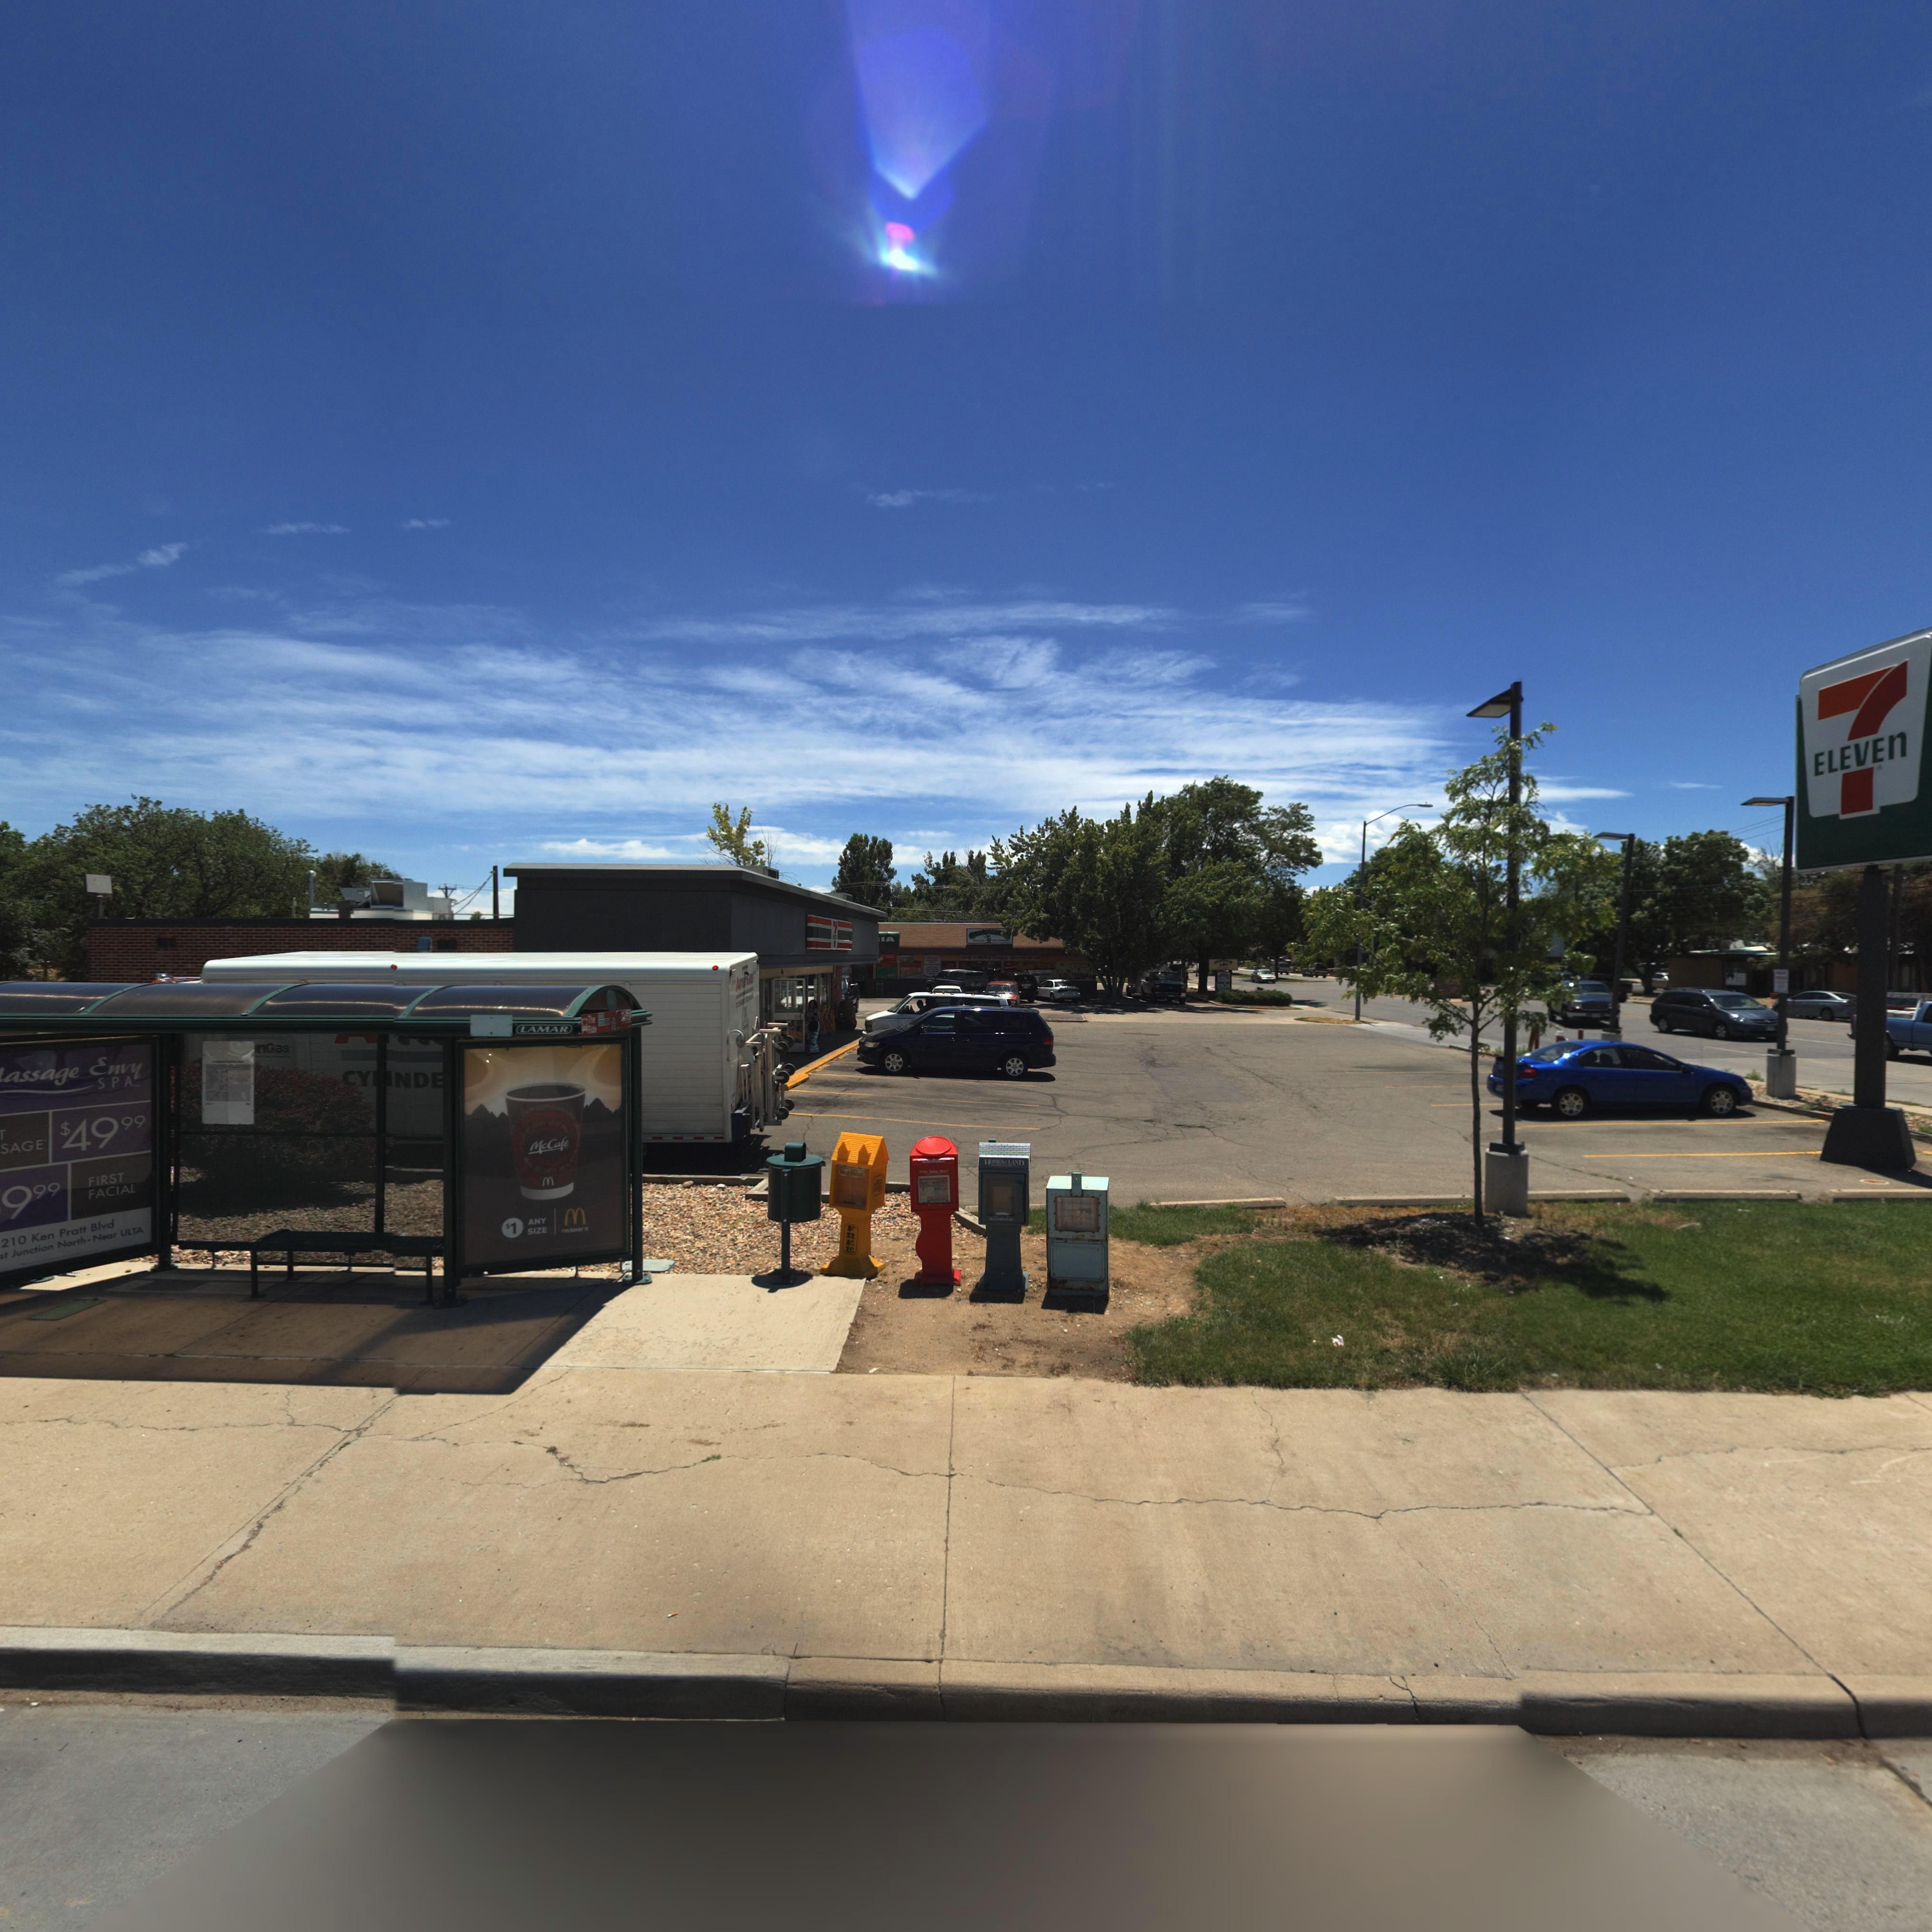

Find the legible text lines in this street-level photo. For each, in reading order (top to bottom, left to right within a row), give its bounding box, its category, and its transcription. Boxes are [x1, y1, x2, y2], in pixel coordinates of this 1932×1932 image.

[1813, 730, 1908, 778] BusinessName: ELEVEn
[1816, 657, 1909, 817] BusinessName: 7
[832, 920, 838, 947] BusinessName: 7
[968, 928, 1004, 938] BusinessName: Gu******